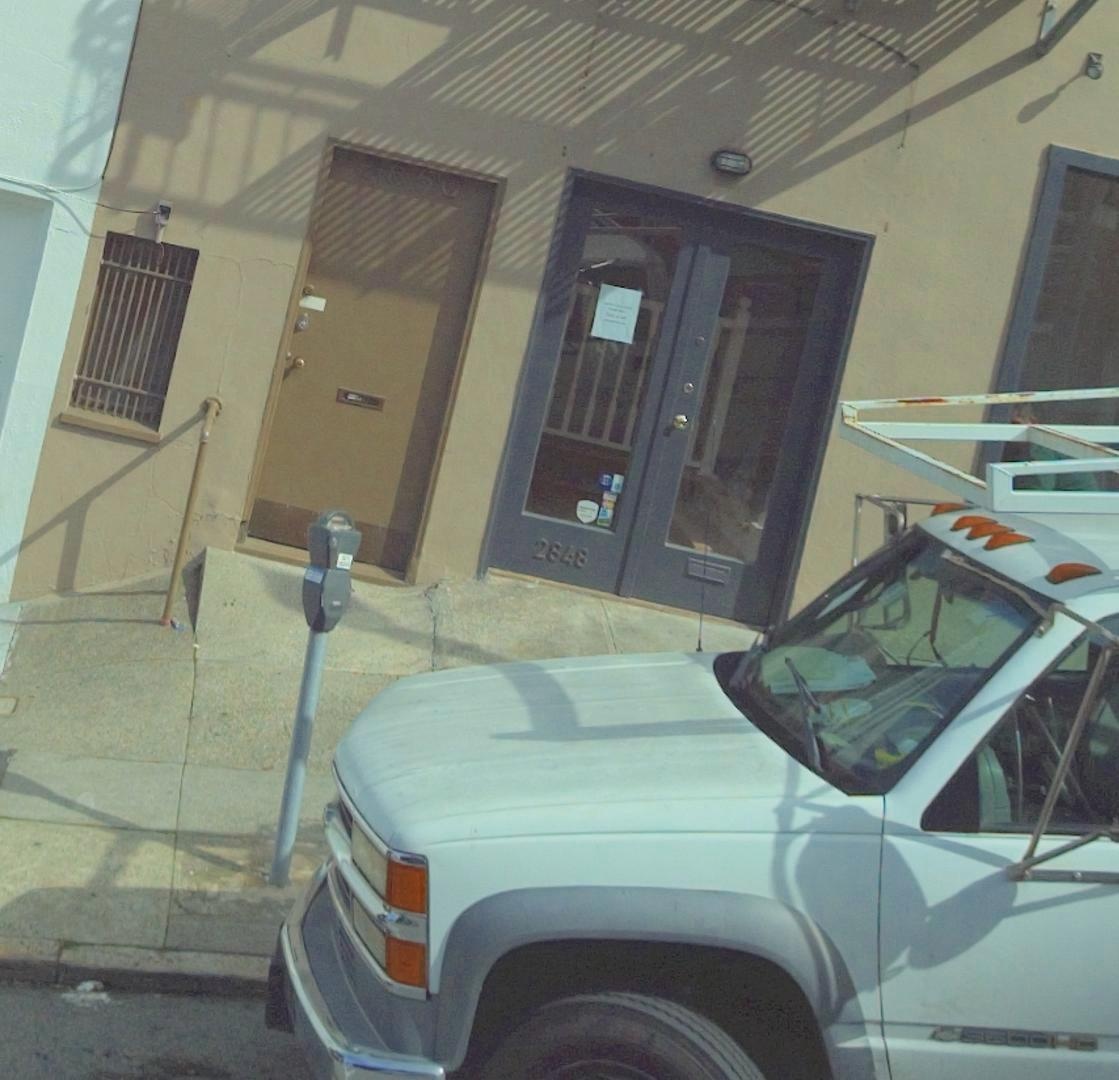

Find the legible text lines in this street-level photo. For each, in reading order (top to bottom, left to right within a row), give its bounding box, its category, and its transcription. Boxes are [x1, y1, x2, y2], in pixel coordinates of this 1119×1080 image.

[529, 534, 593, 572] StreetNumber: 2848